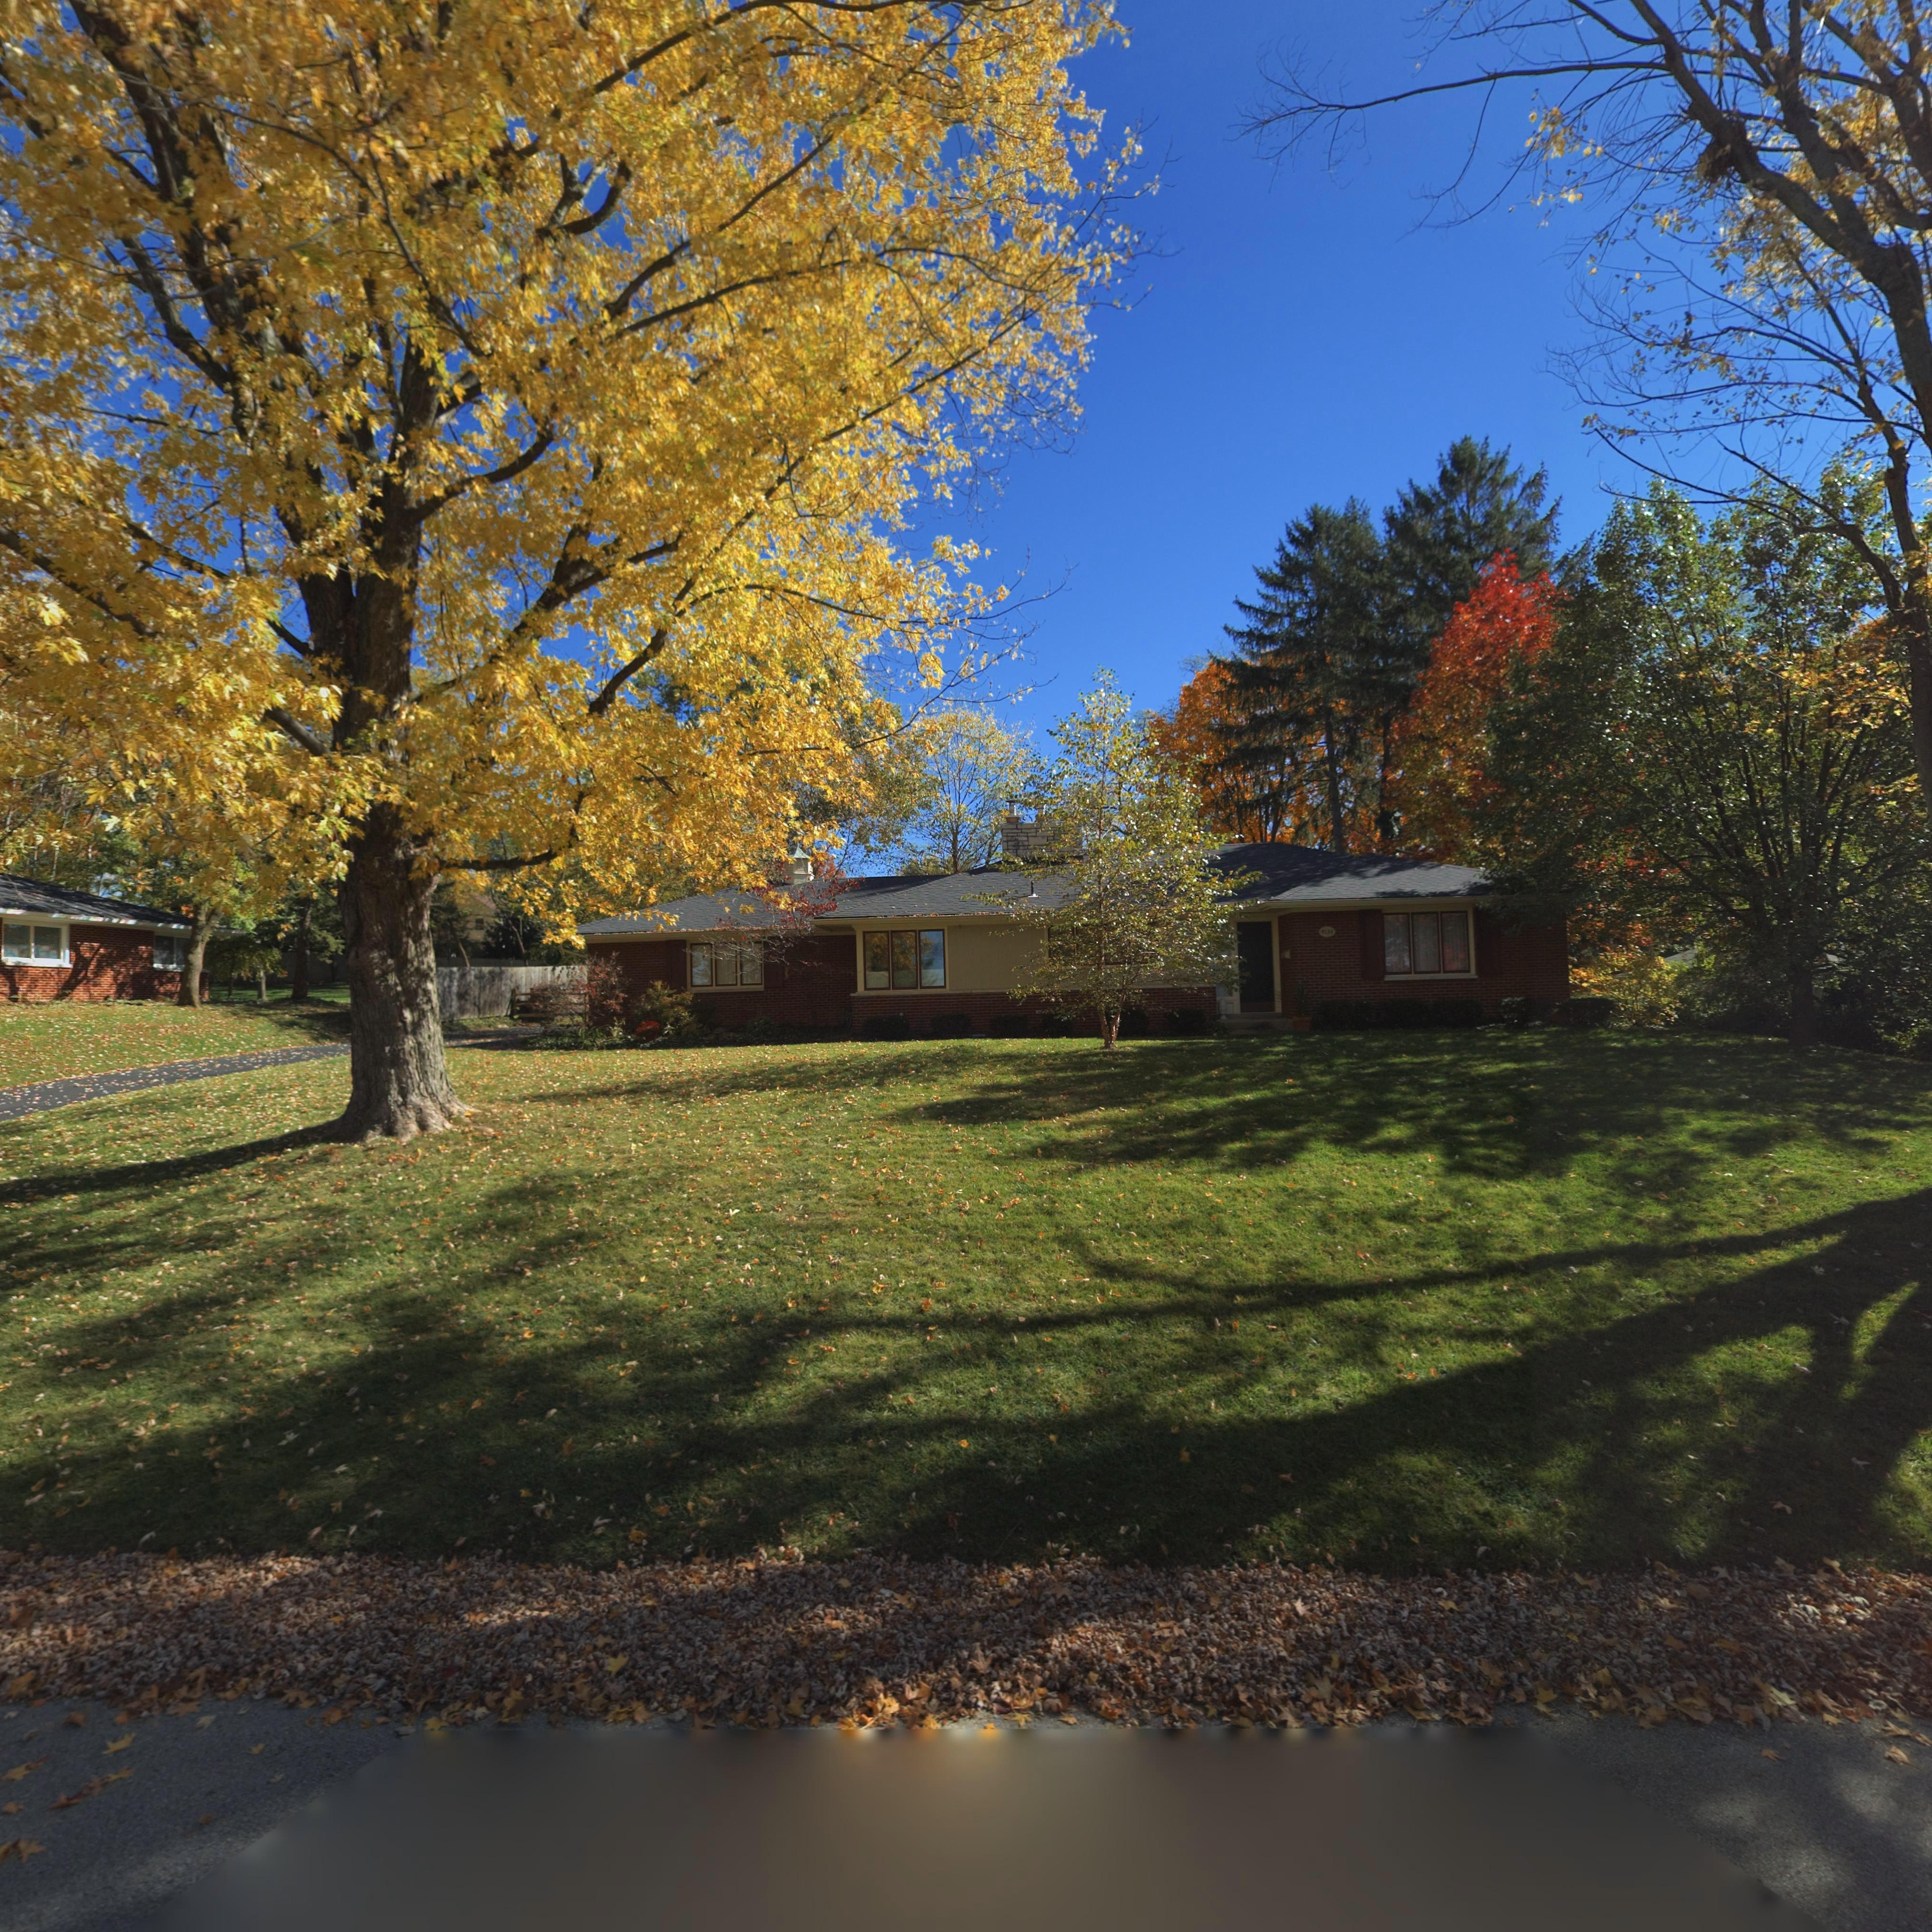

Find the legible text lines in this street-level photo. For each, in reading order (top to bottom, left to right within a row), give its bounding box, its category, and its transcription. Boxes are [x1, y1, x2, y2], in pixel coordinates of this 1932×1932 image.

[1320, 928, 1333, 935] StreetNumber: 4134